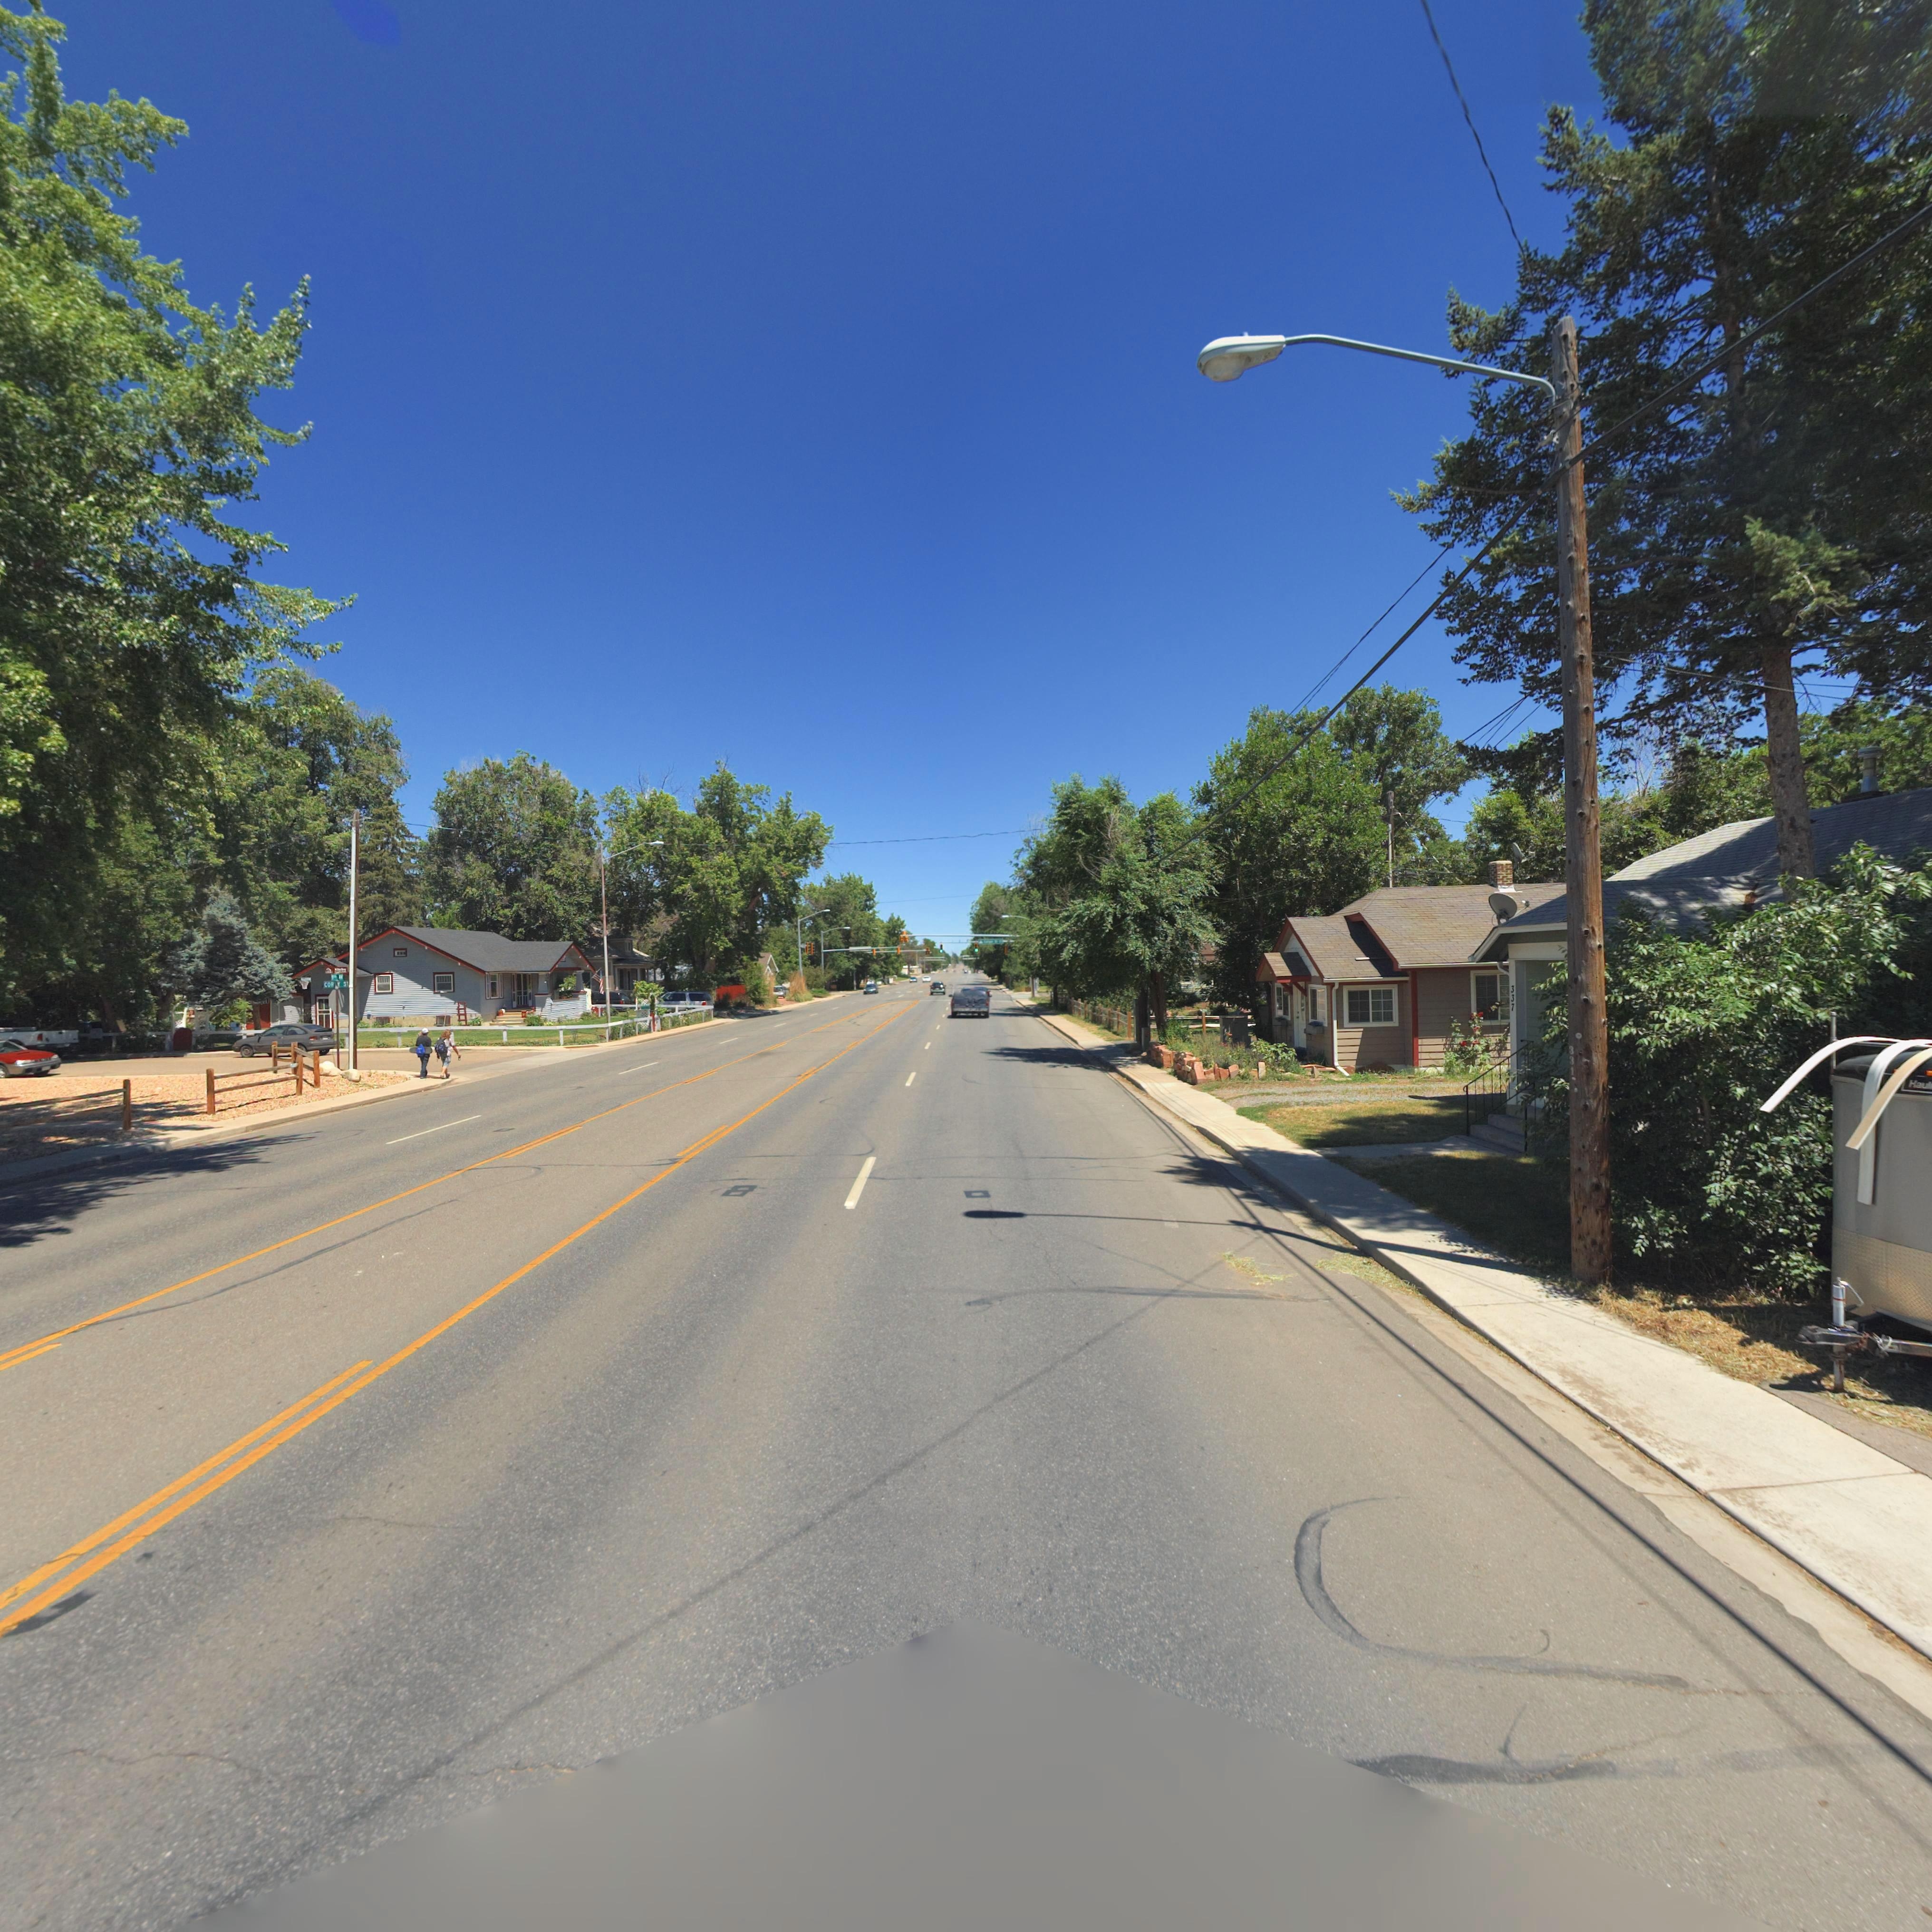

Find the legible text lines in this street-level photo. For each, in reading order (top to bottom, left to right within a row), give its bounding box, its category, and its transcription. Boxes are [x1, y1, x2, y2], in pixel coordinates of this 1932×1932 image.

[330, 974, 343, 980] StreetName: 9** AV
[323, 981, 349, 988] StreetName: COR*Y ST
[1510, 985, 1515, 1011] StreetNumber: 337